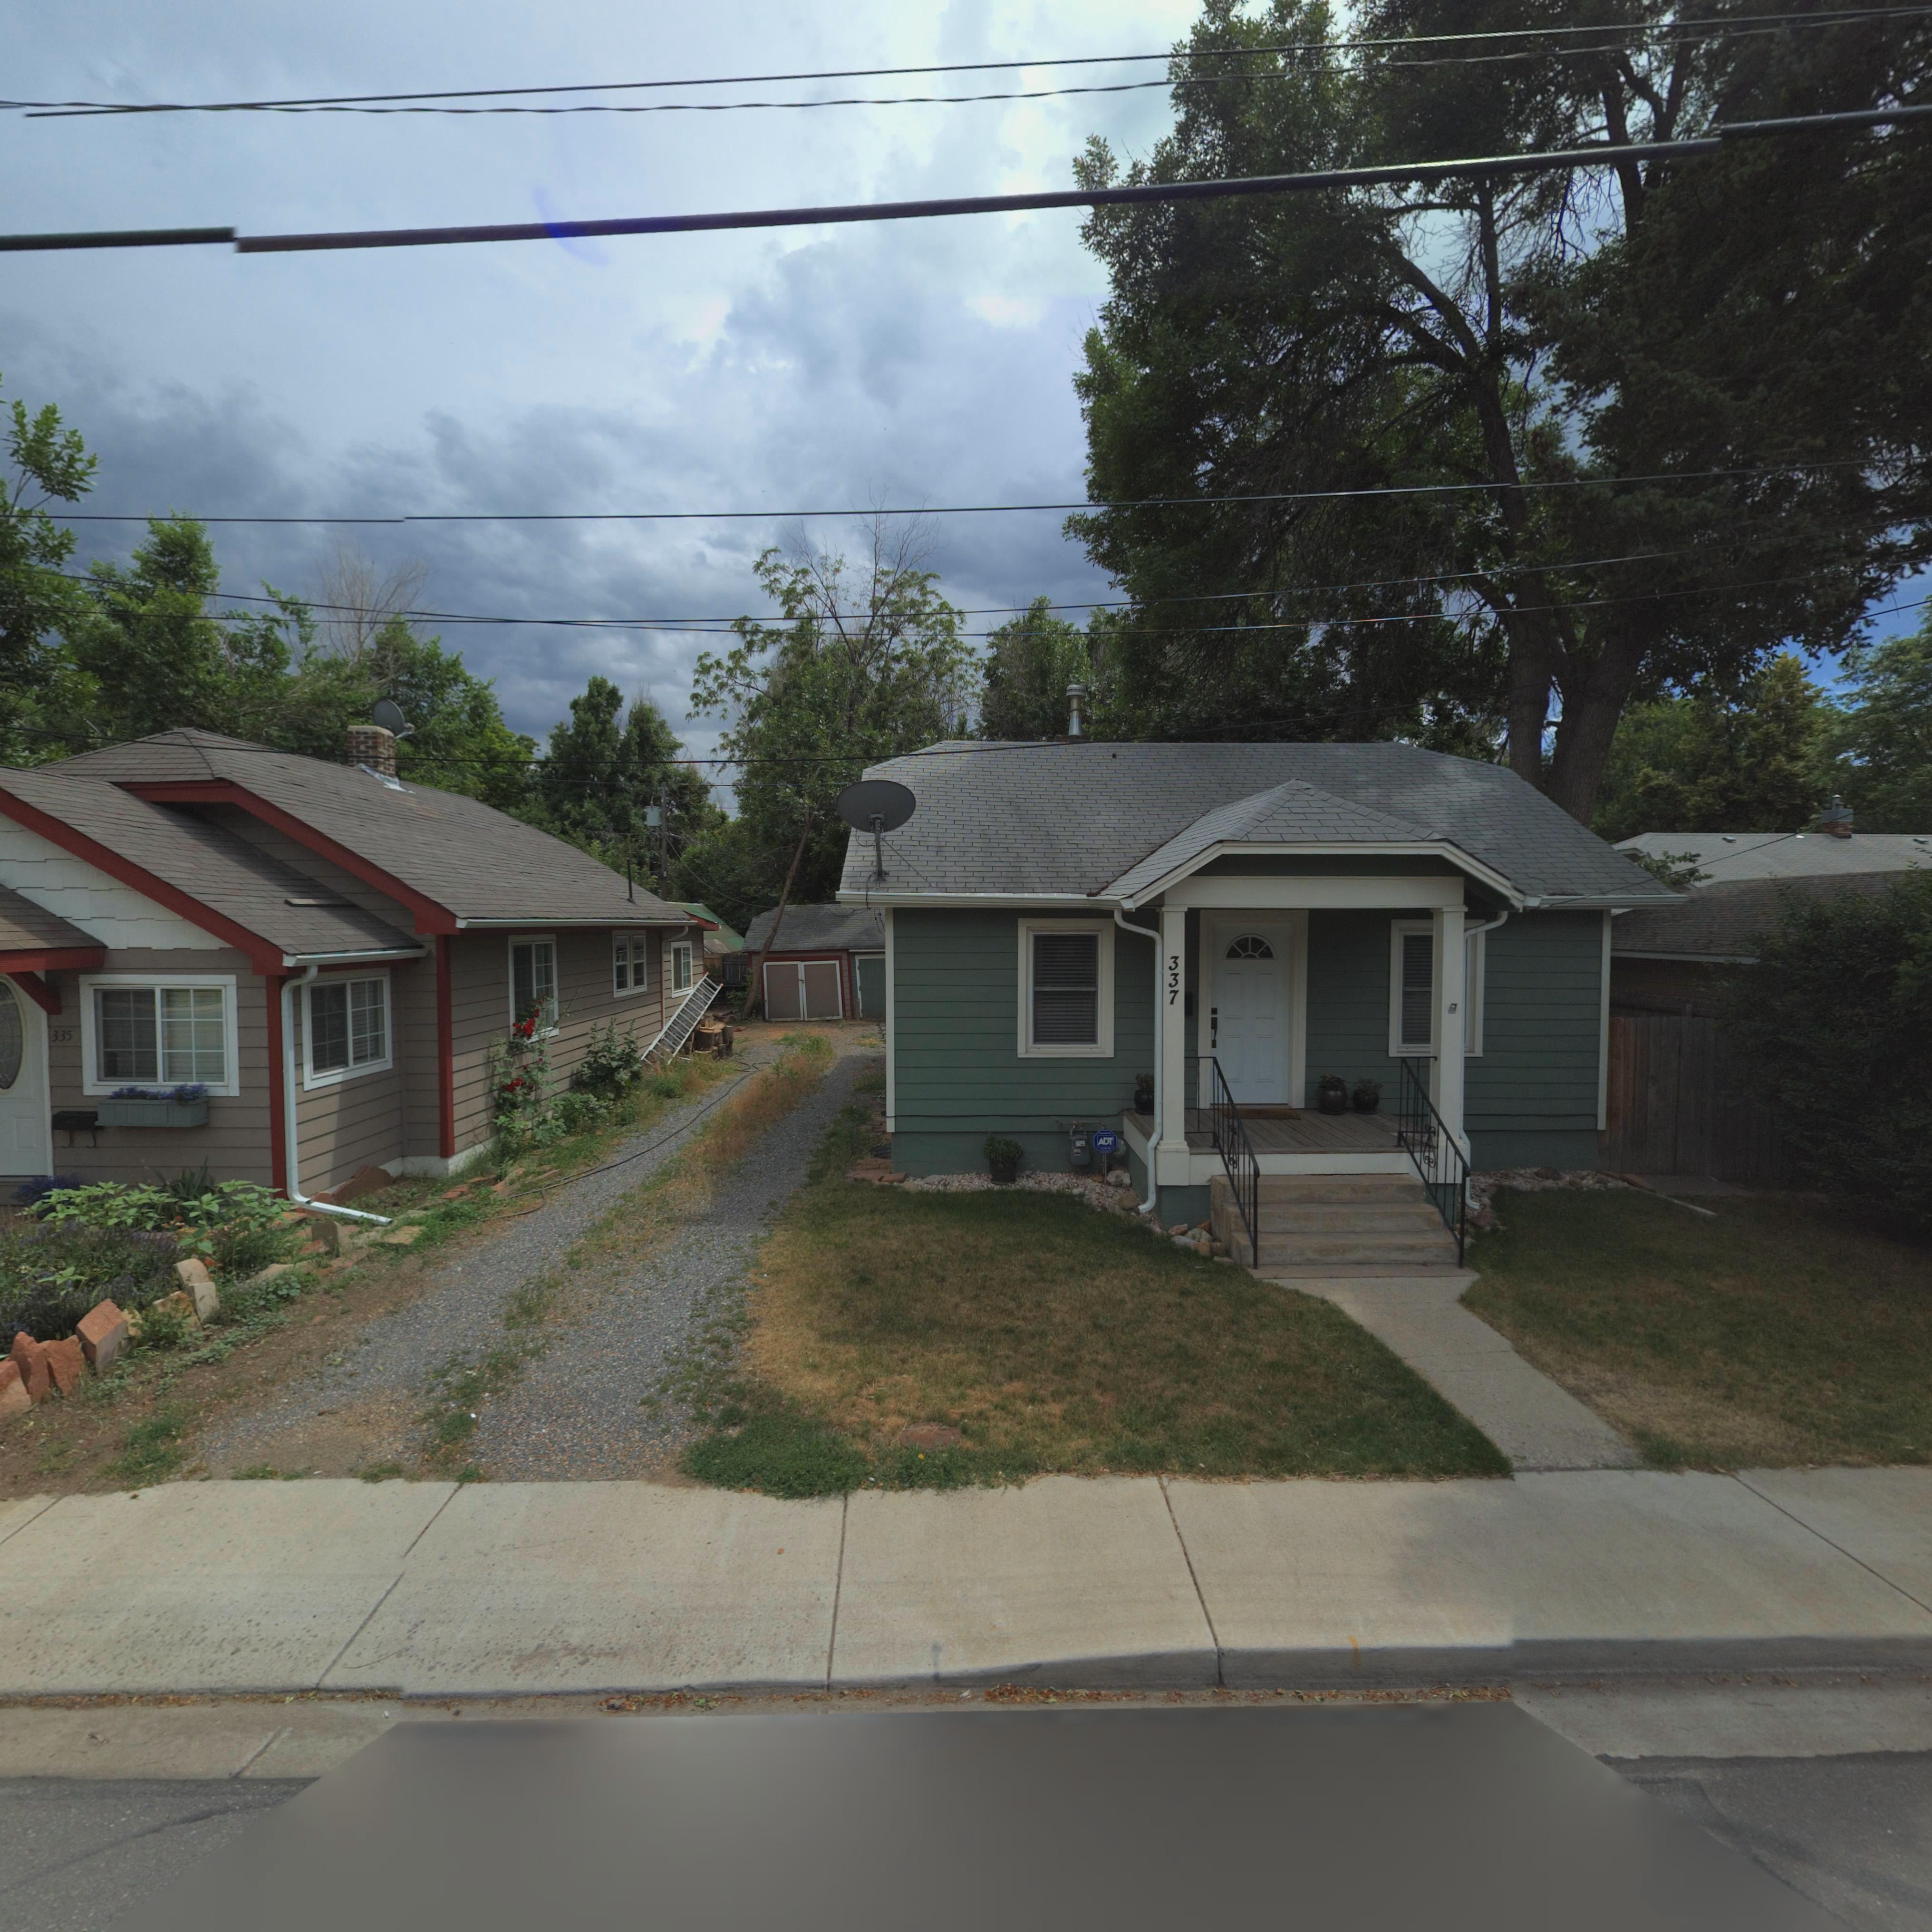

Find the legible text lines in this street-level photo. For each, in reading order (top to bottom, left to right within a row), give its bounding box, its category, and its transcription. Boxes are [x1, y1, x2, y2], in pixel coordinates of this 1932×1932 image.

[1167, 955, 1179, 1005] StreetNumber: 337
[51, 1029, 73, 1043] StreetNumber: 335